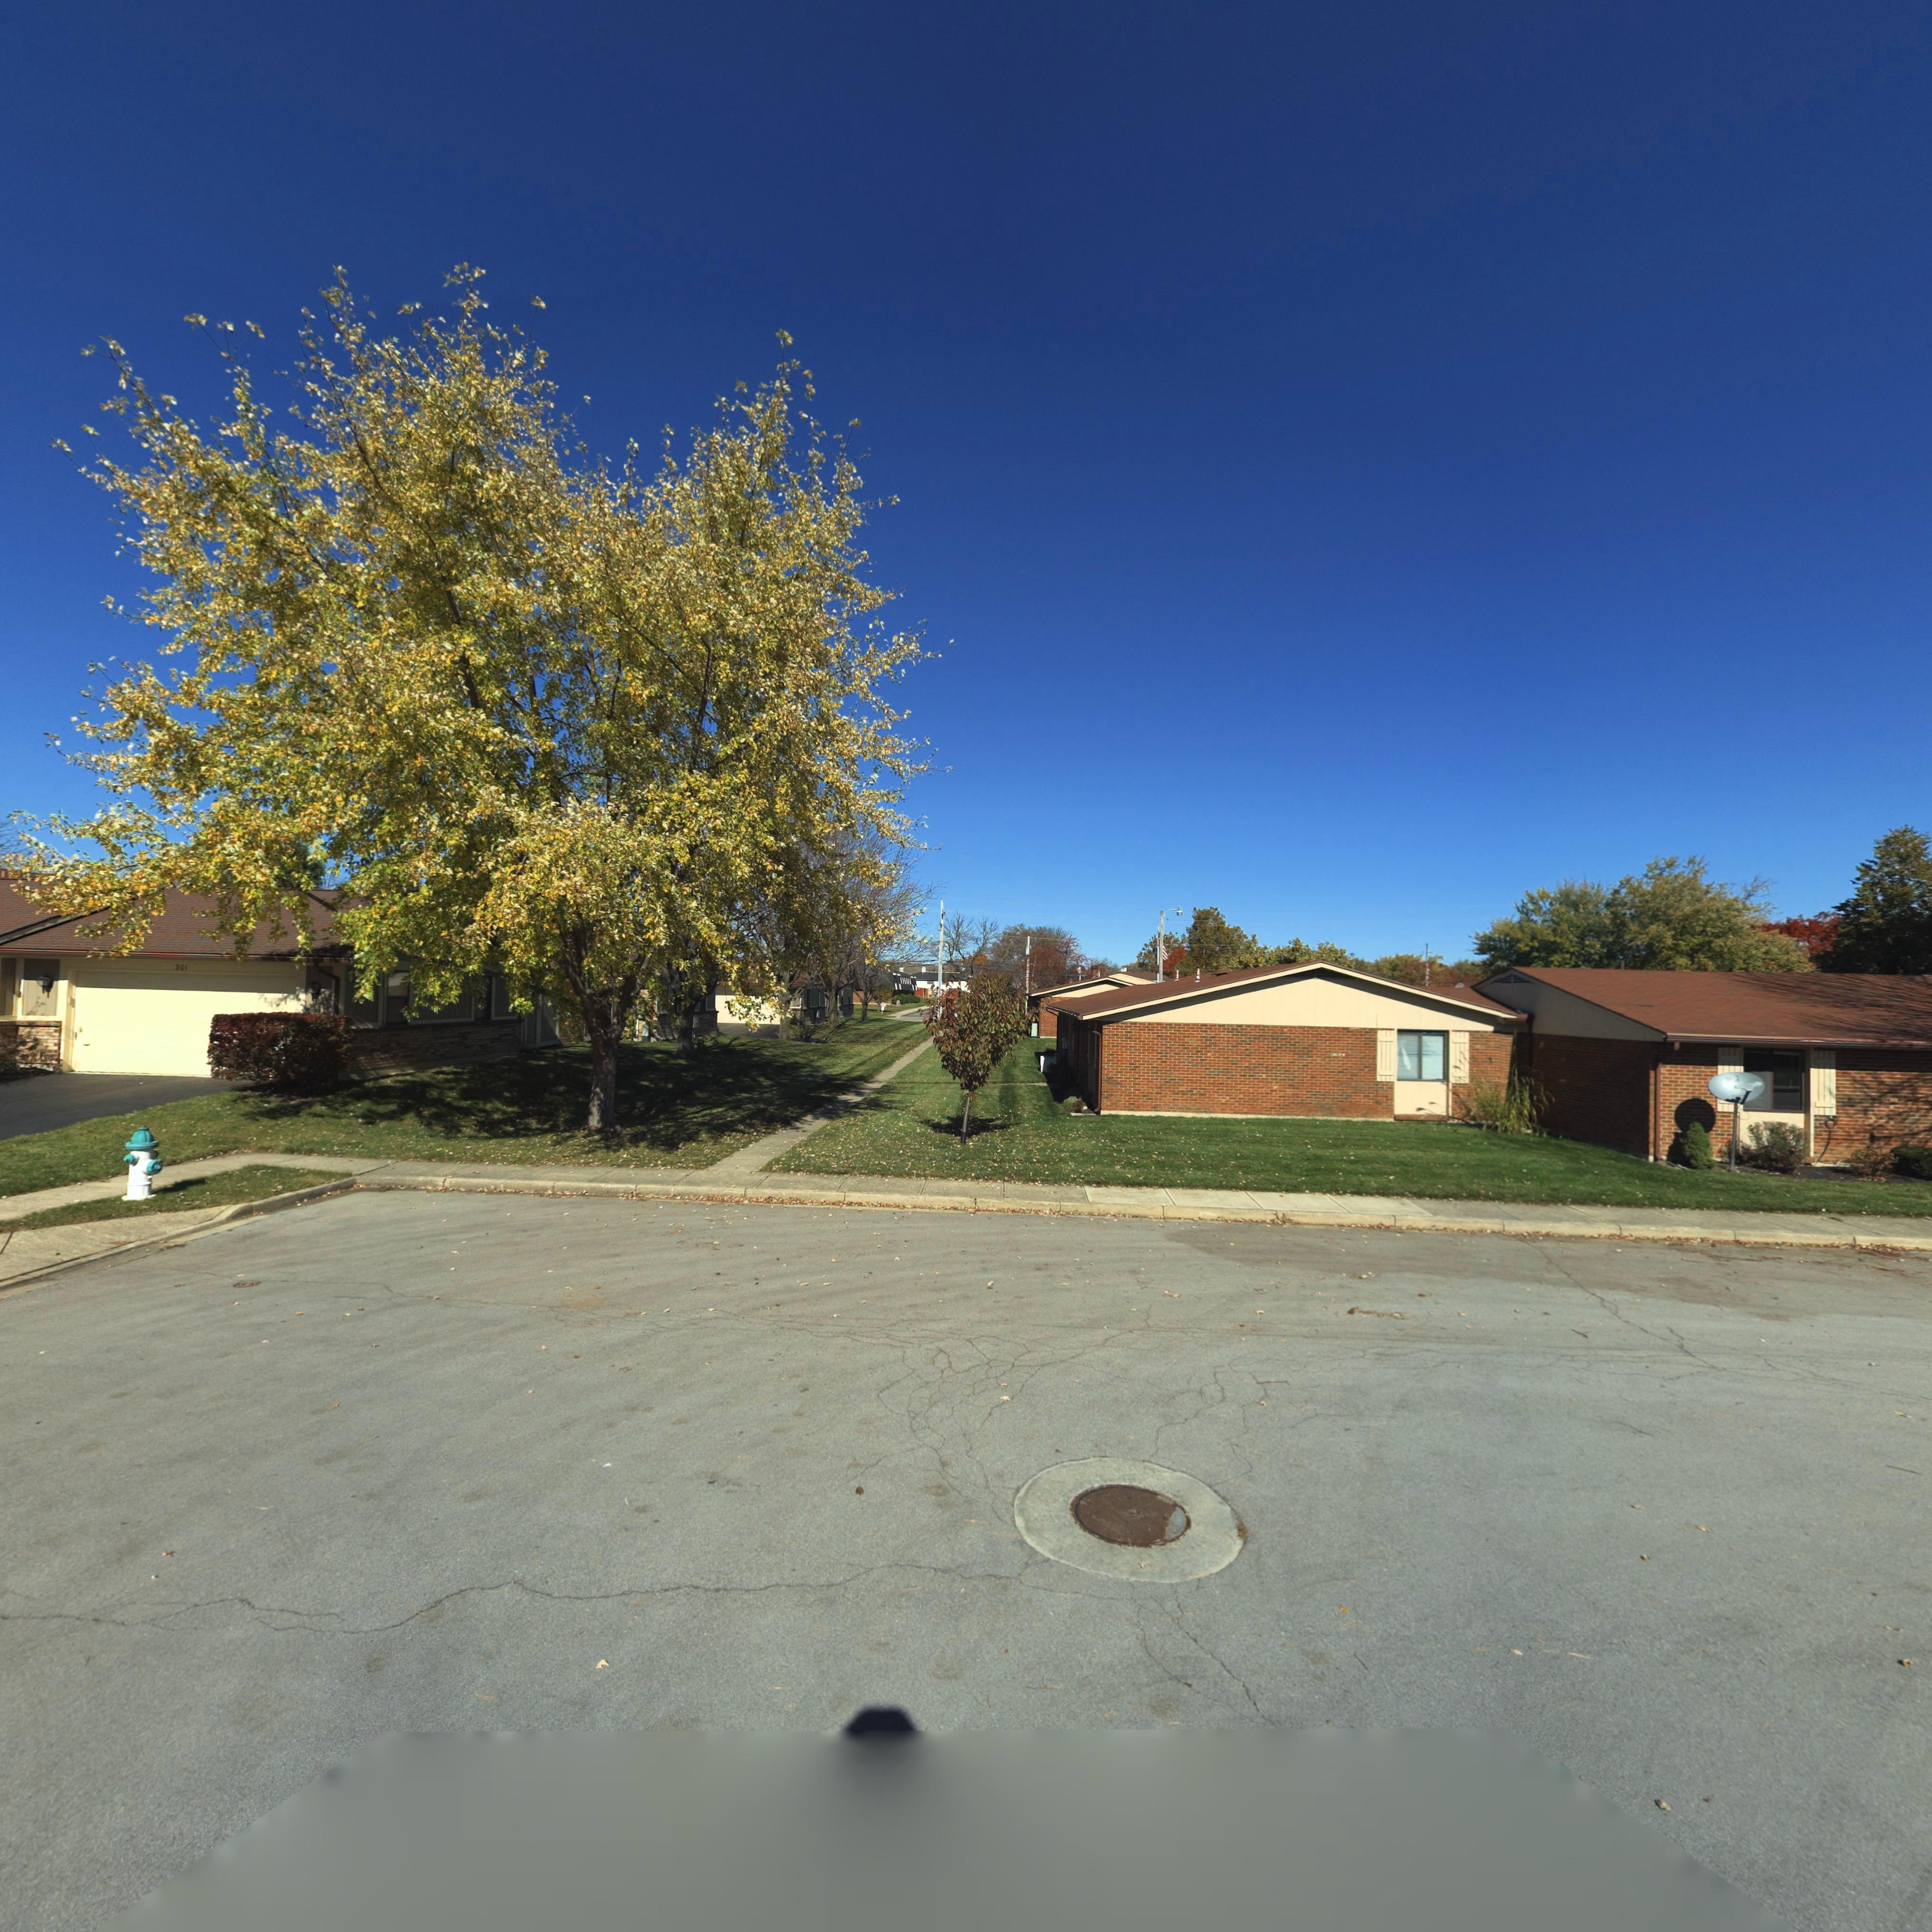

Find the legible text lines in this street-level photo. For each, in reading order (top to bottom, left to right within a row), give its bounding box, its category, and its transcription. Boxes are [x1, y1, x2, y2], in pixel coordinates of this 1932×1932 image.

[174, 963, 188, 971] StreetNumber: 301